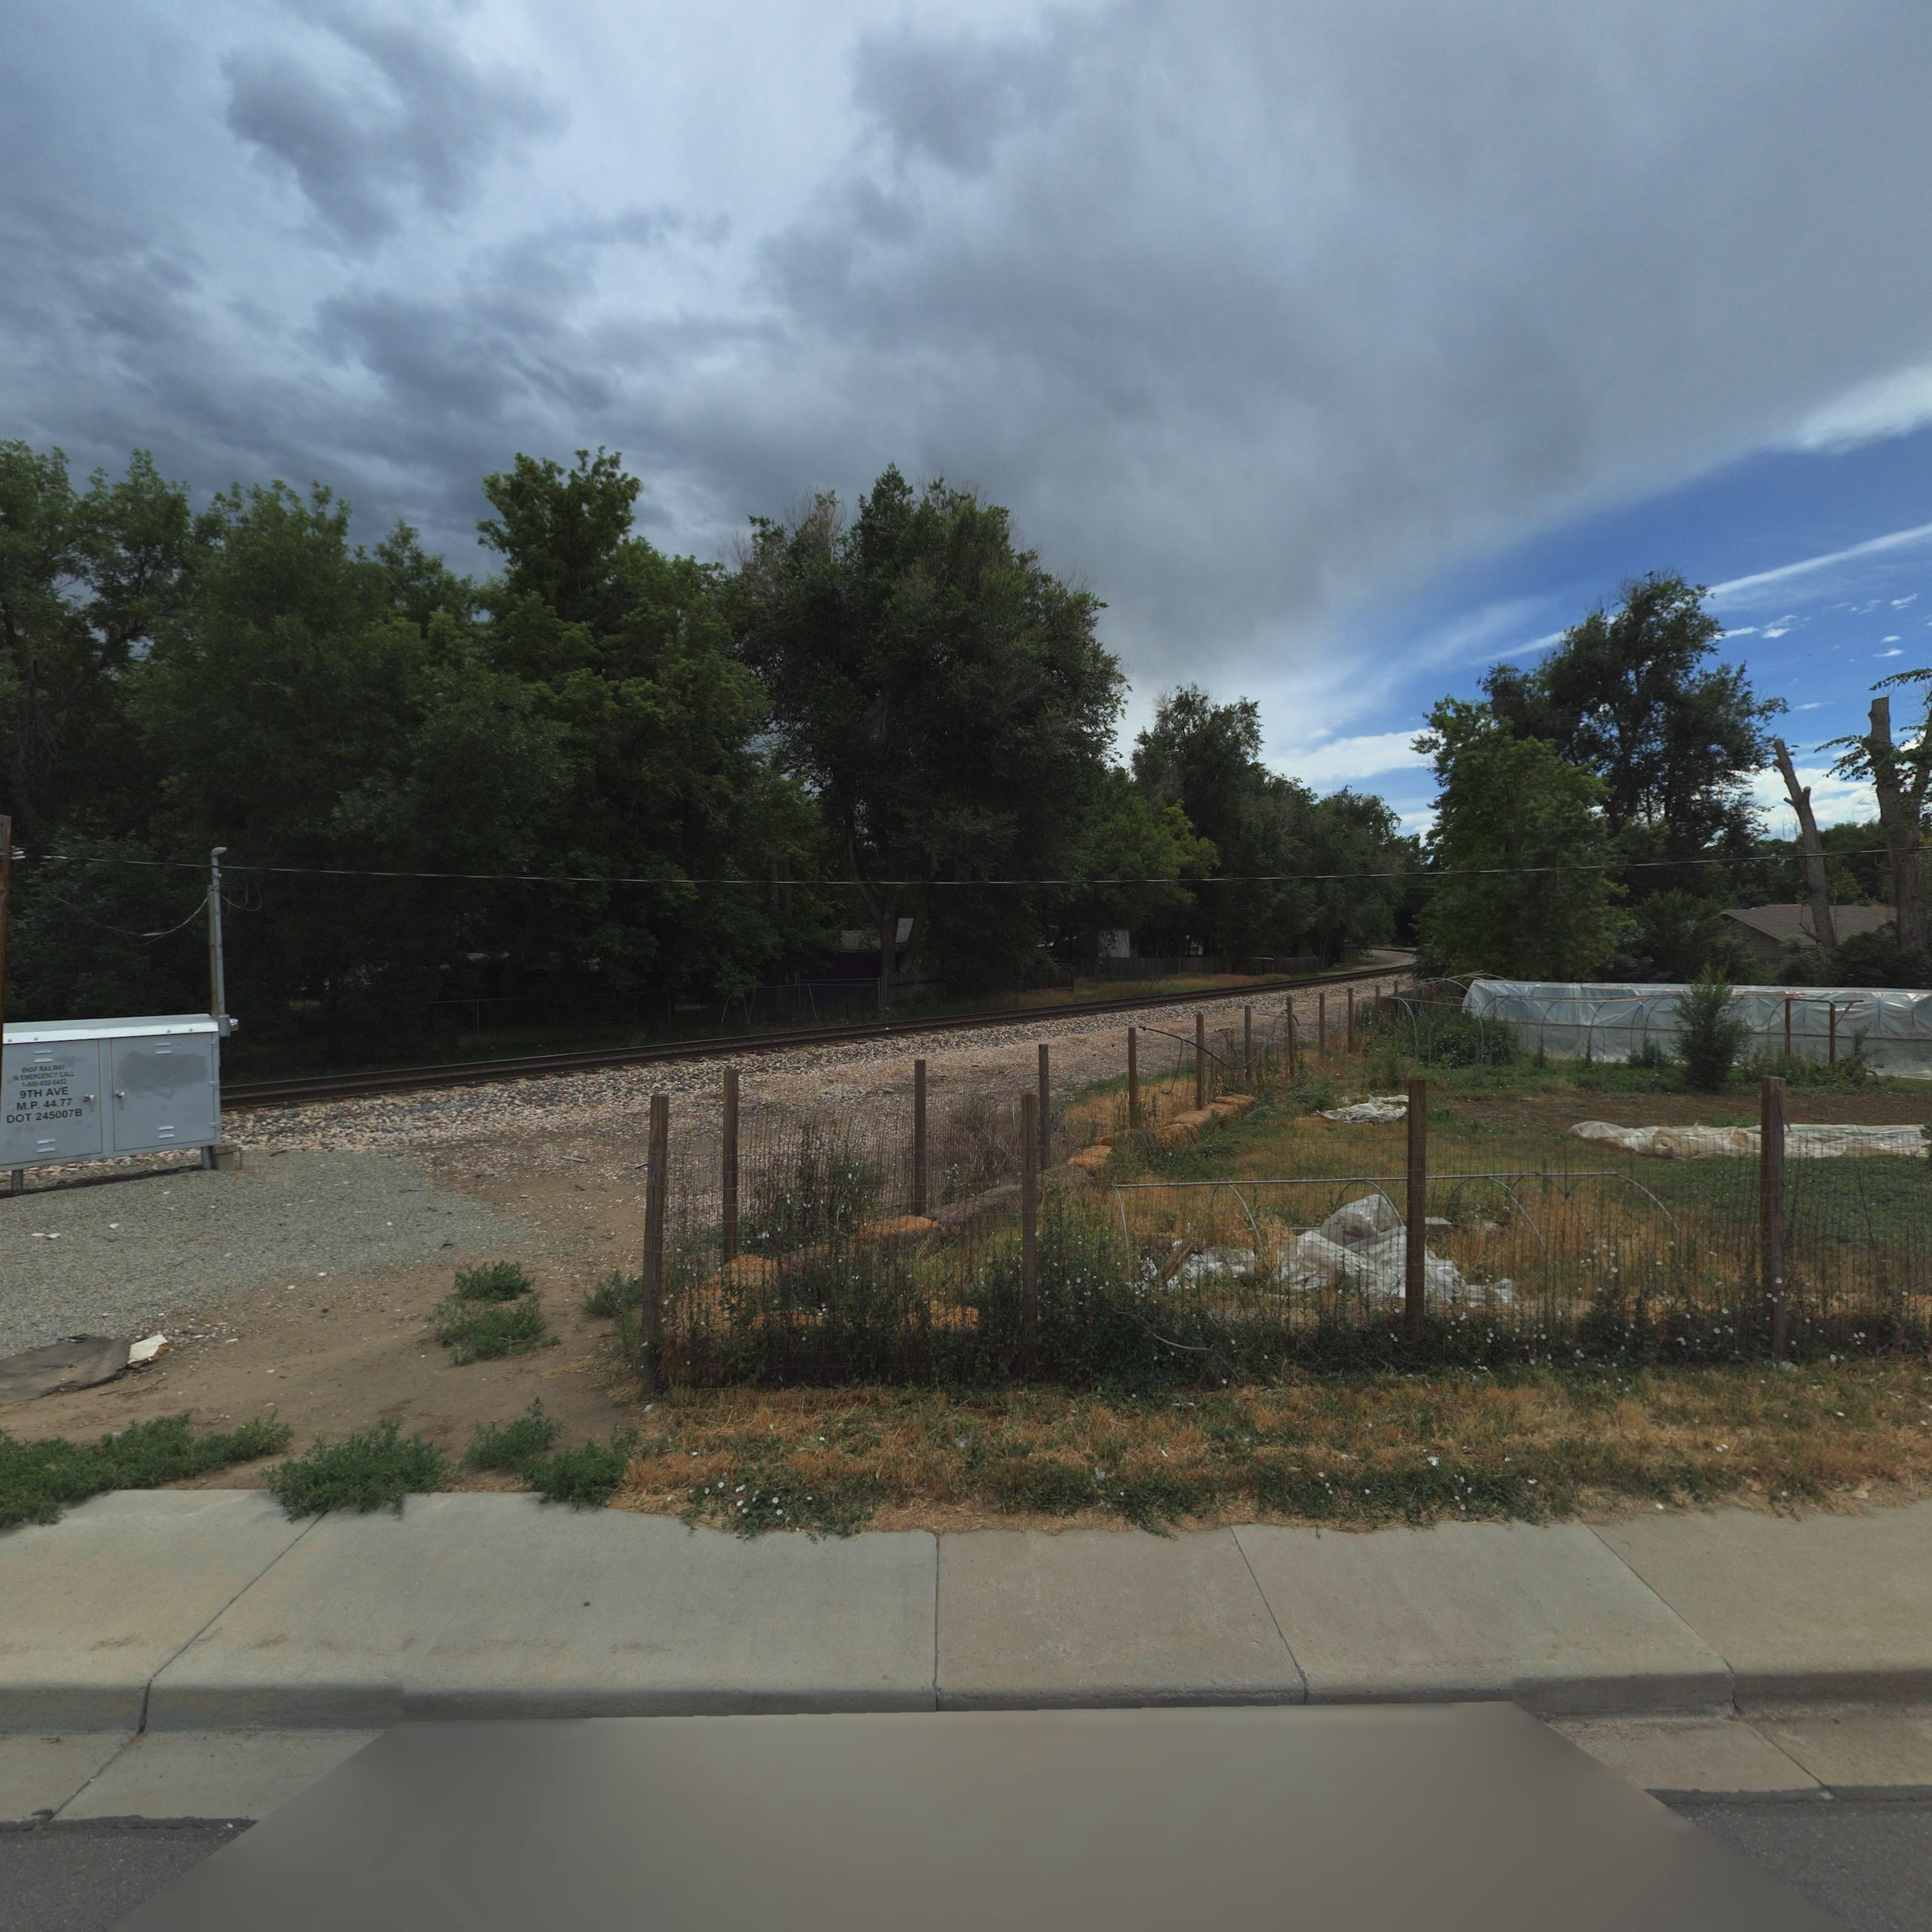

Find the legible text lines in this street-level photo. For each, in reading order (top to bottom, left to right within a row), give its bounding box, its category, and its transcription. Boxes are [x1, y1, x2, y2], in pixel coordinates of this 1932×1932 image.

[19, 1086, 69, 1099] StreetName: 9TH AVE